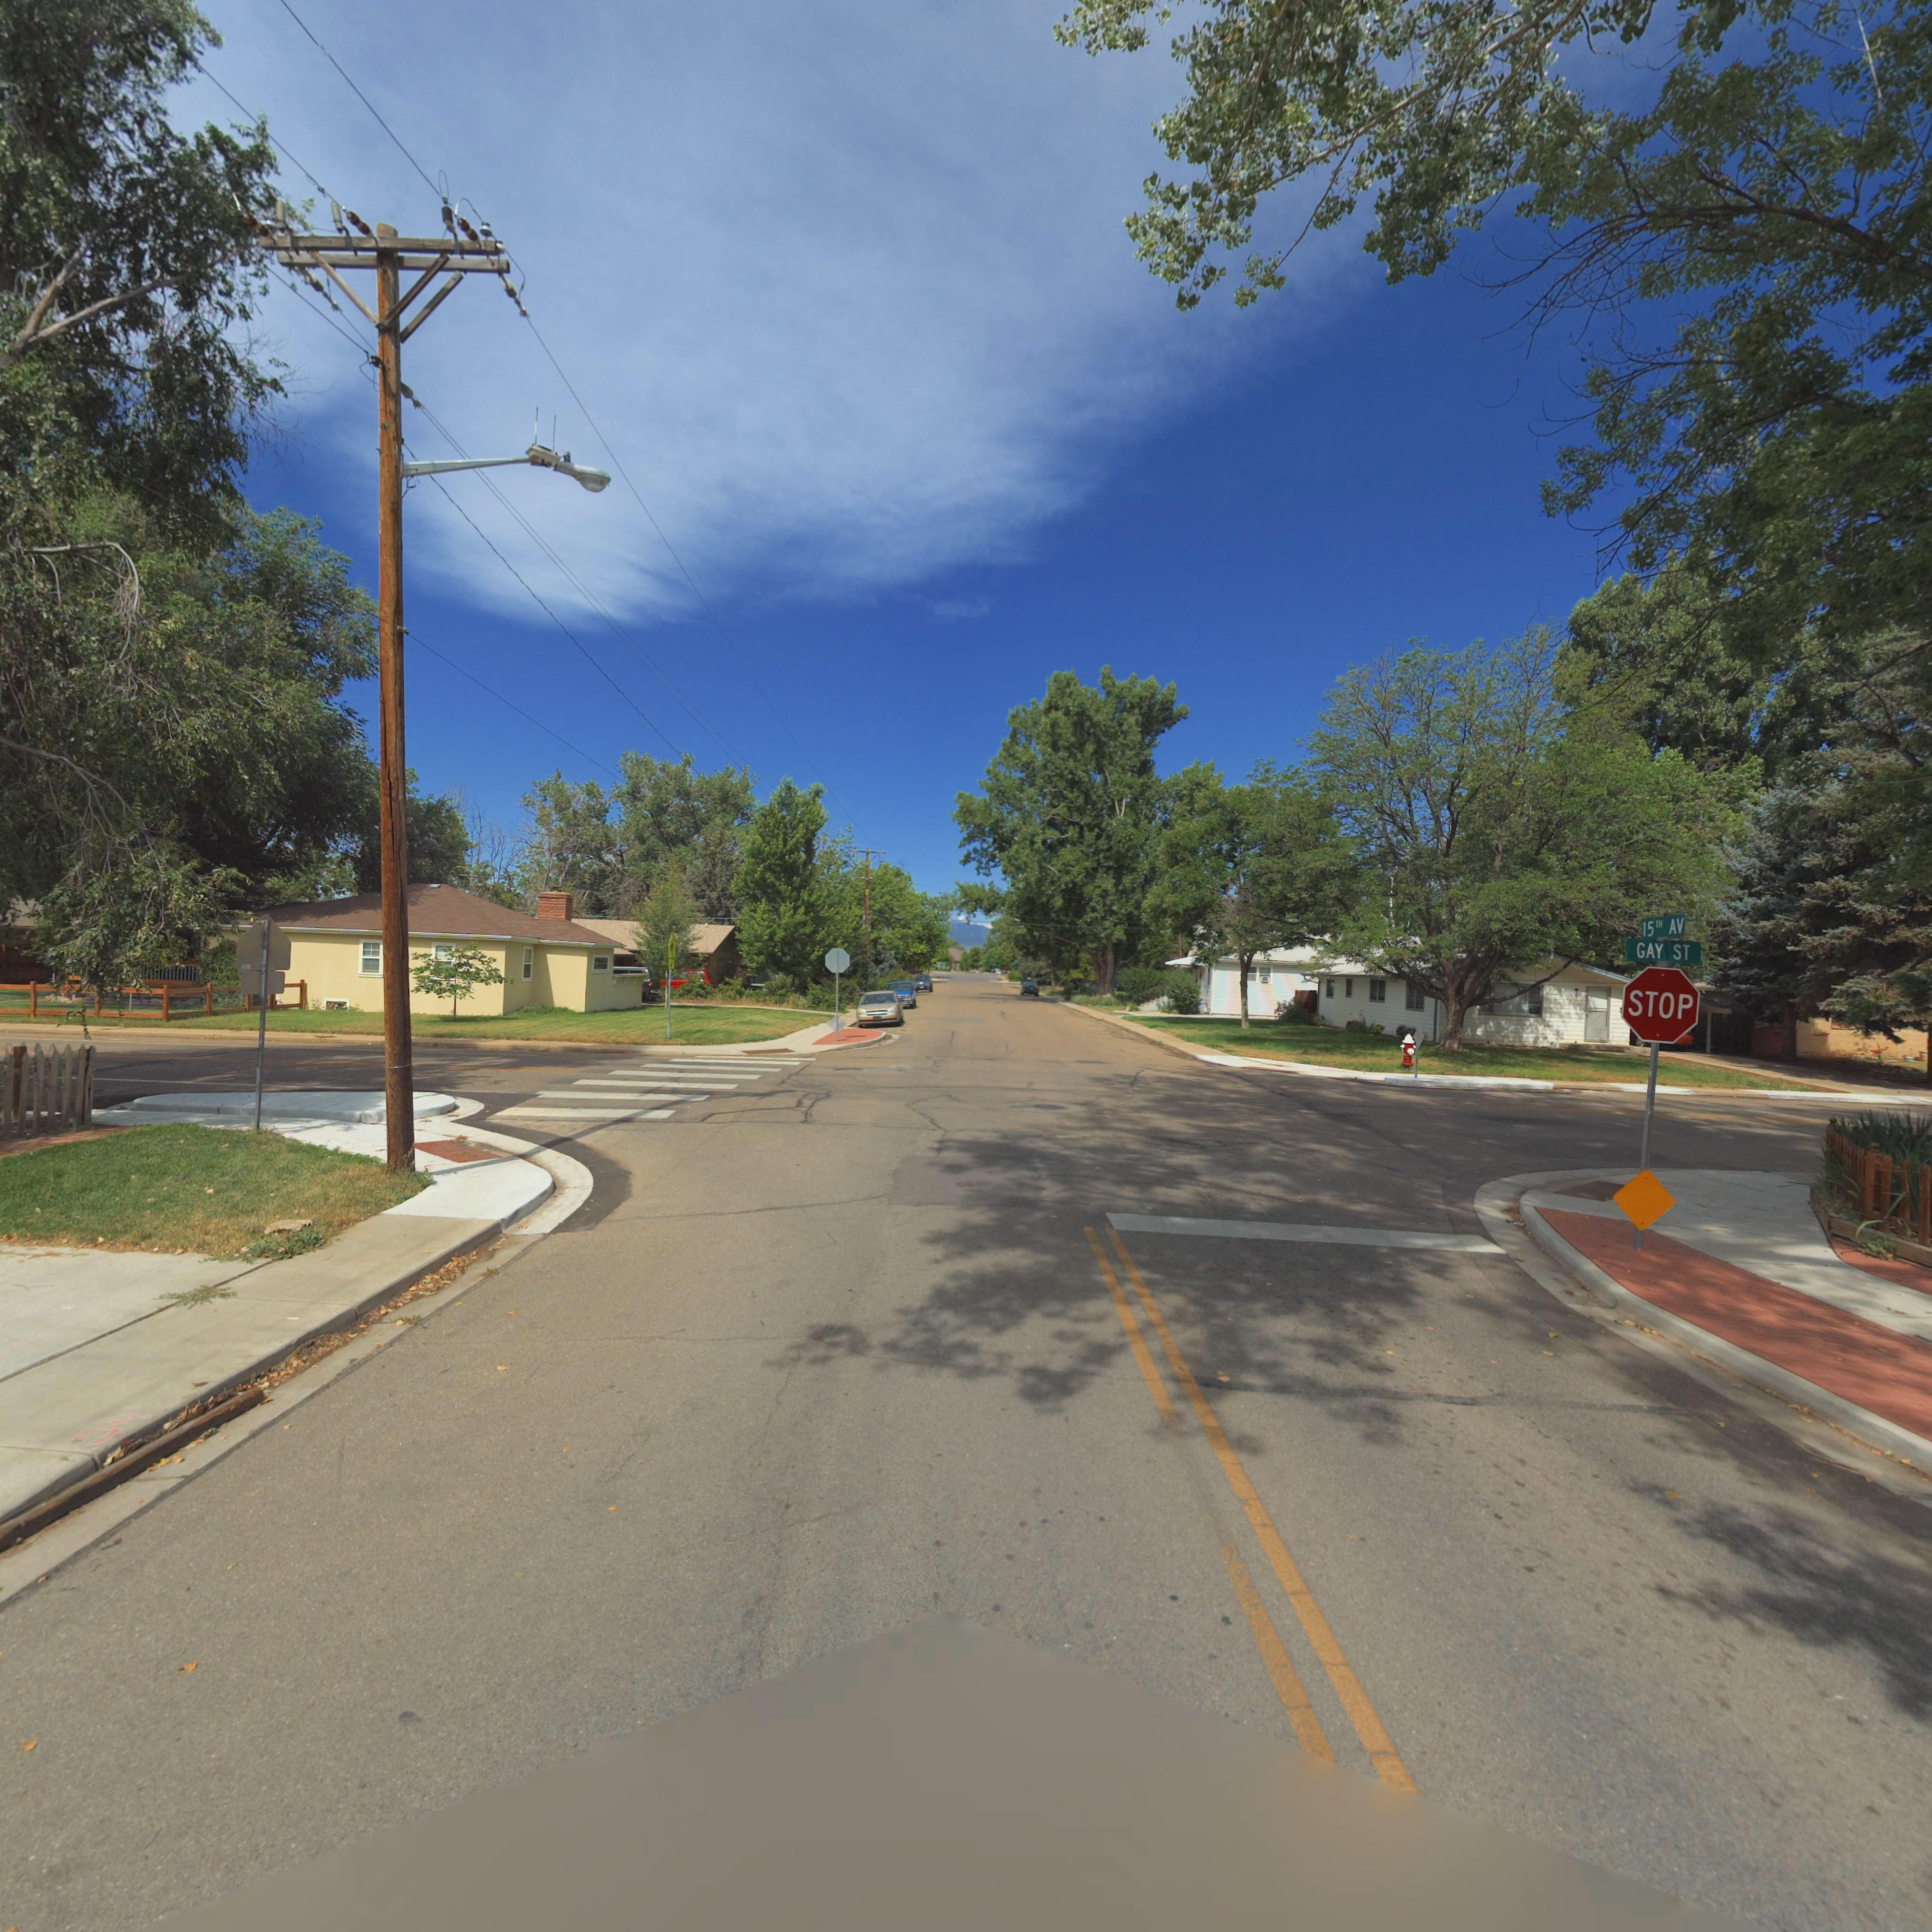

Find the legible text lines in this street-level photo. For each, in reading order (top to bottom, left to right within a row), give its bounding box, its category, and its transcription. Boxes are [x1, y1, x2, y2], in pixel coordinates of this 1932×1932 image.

[1642, 917, 1684, 938] StreetName: 15*H AV
[1635, 942, 1691, 961] StreetName: GAY ST